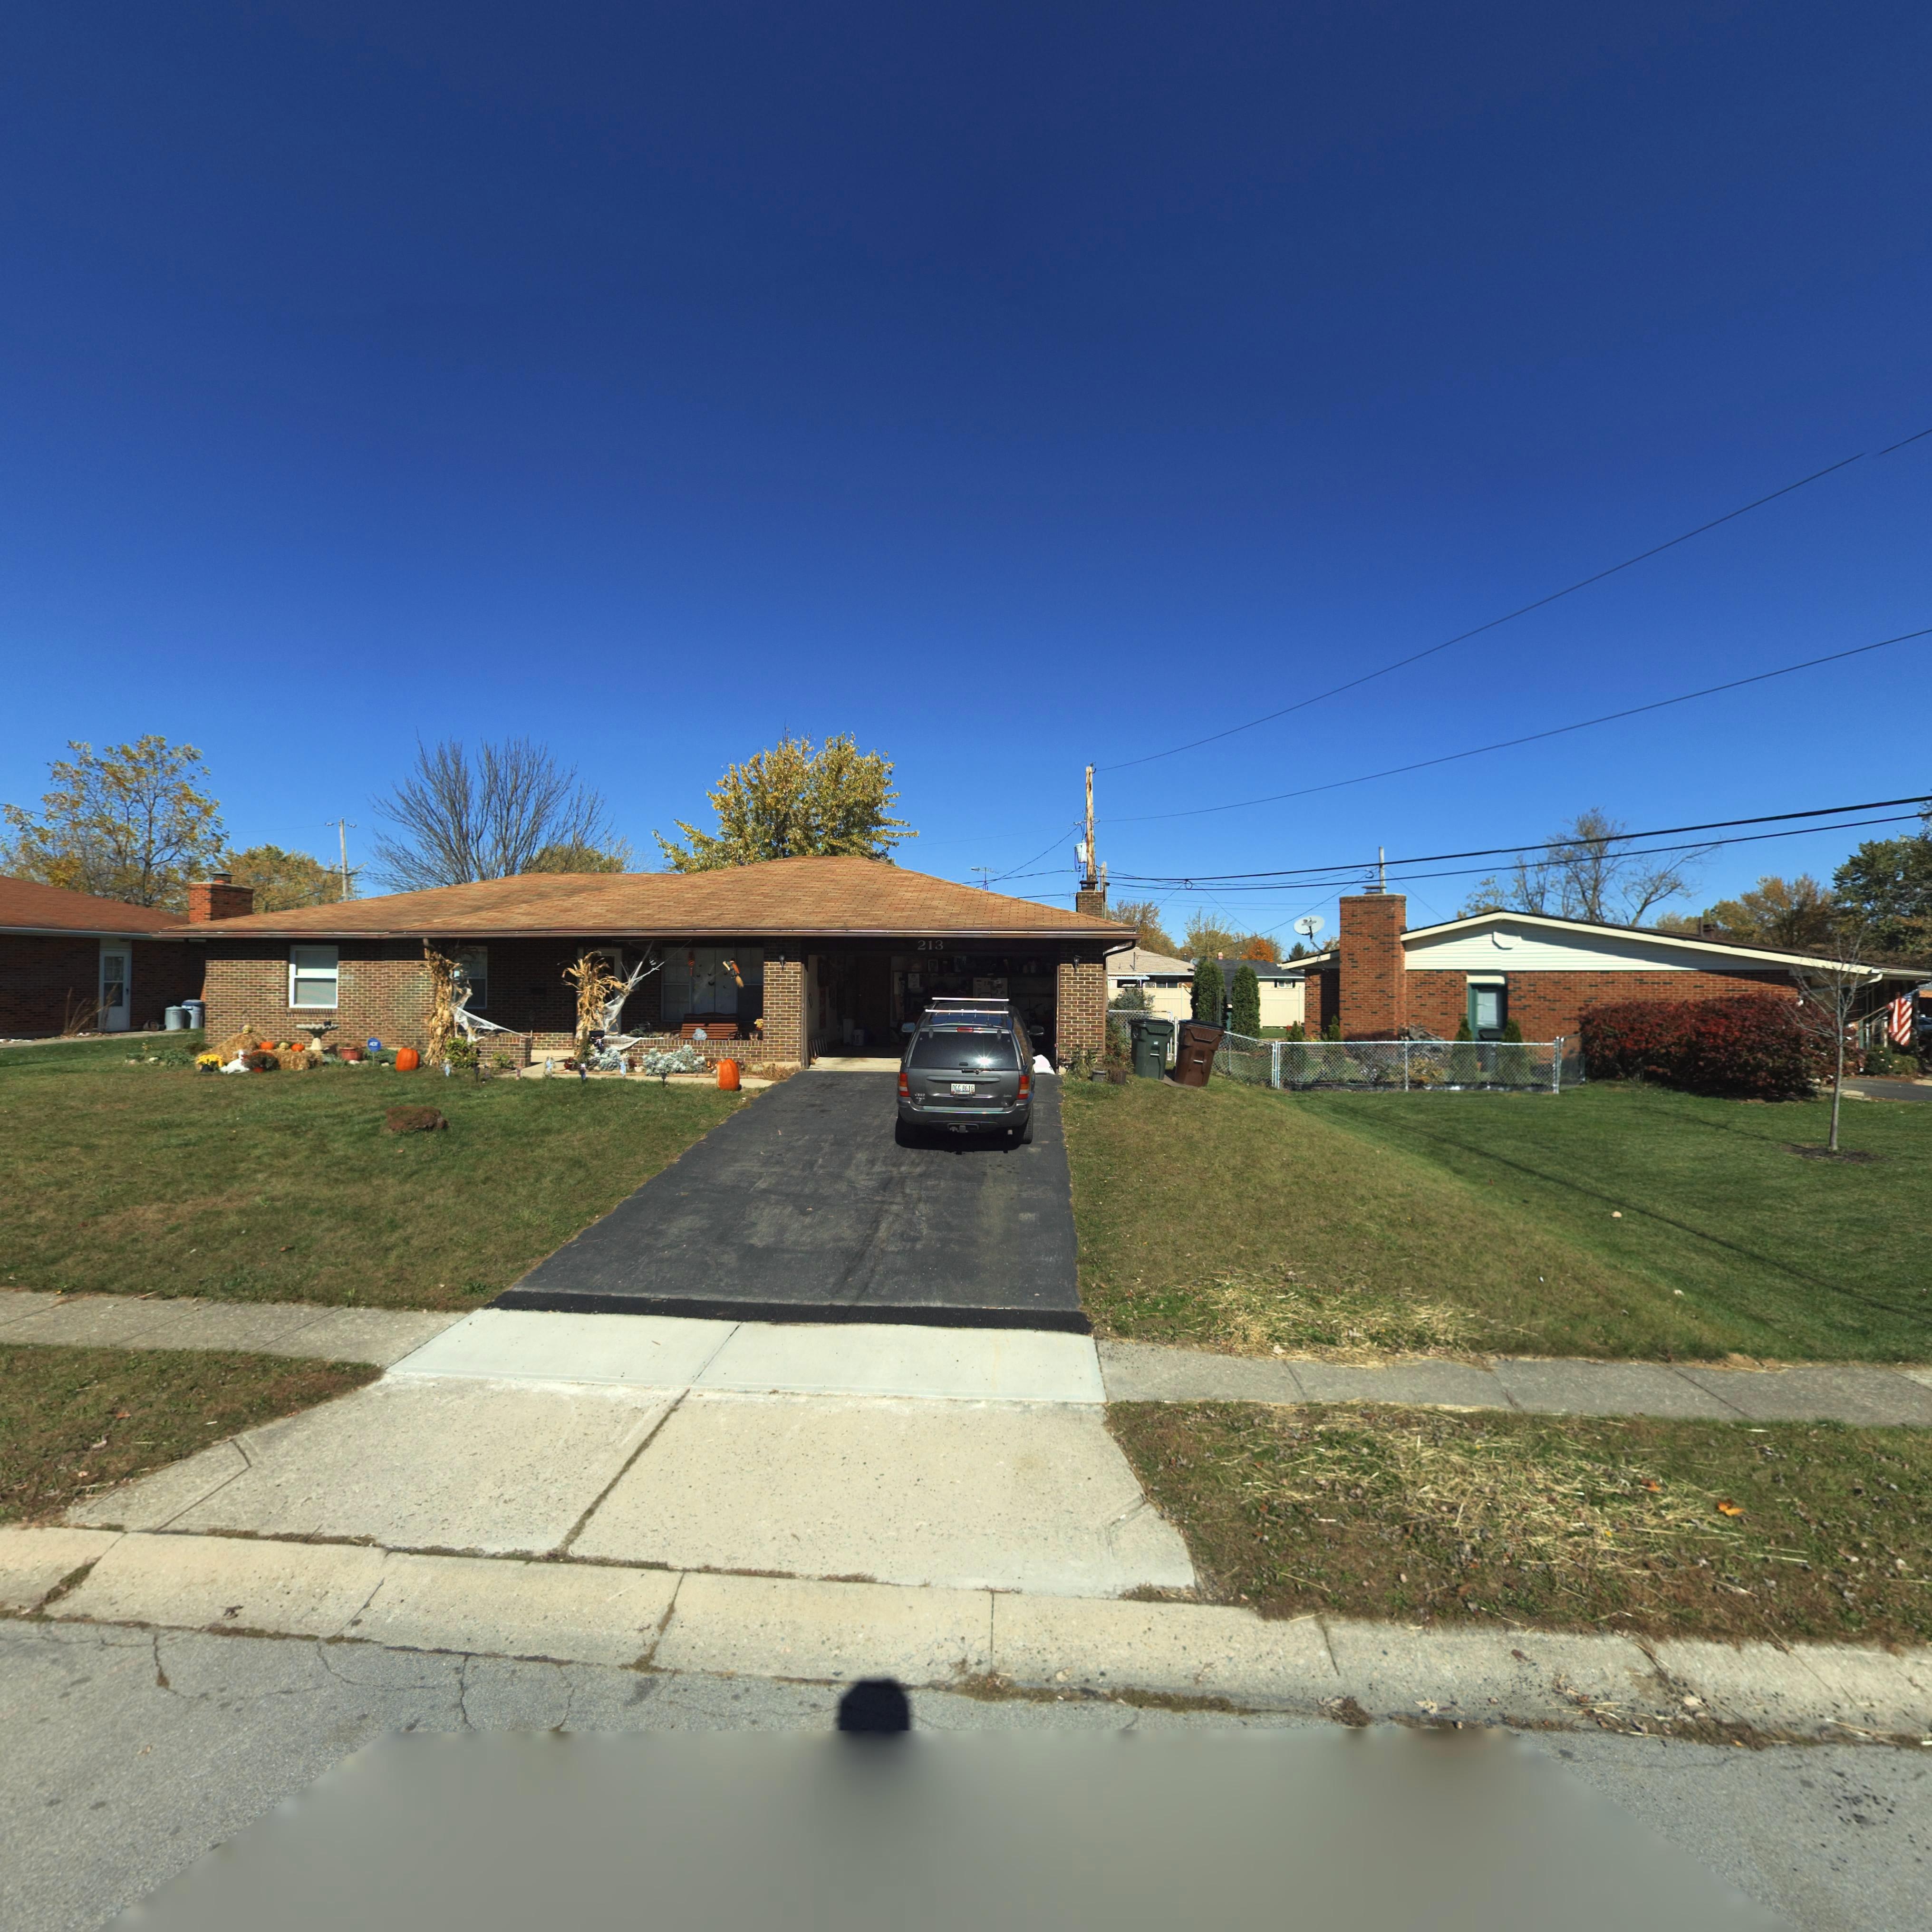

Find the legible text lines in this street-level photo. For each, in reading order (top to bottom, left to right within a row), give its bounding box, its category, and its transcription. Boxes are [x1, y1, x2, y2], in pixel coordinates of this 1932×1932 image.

[917, 939, 944, 951] StreetNumber: 213